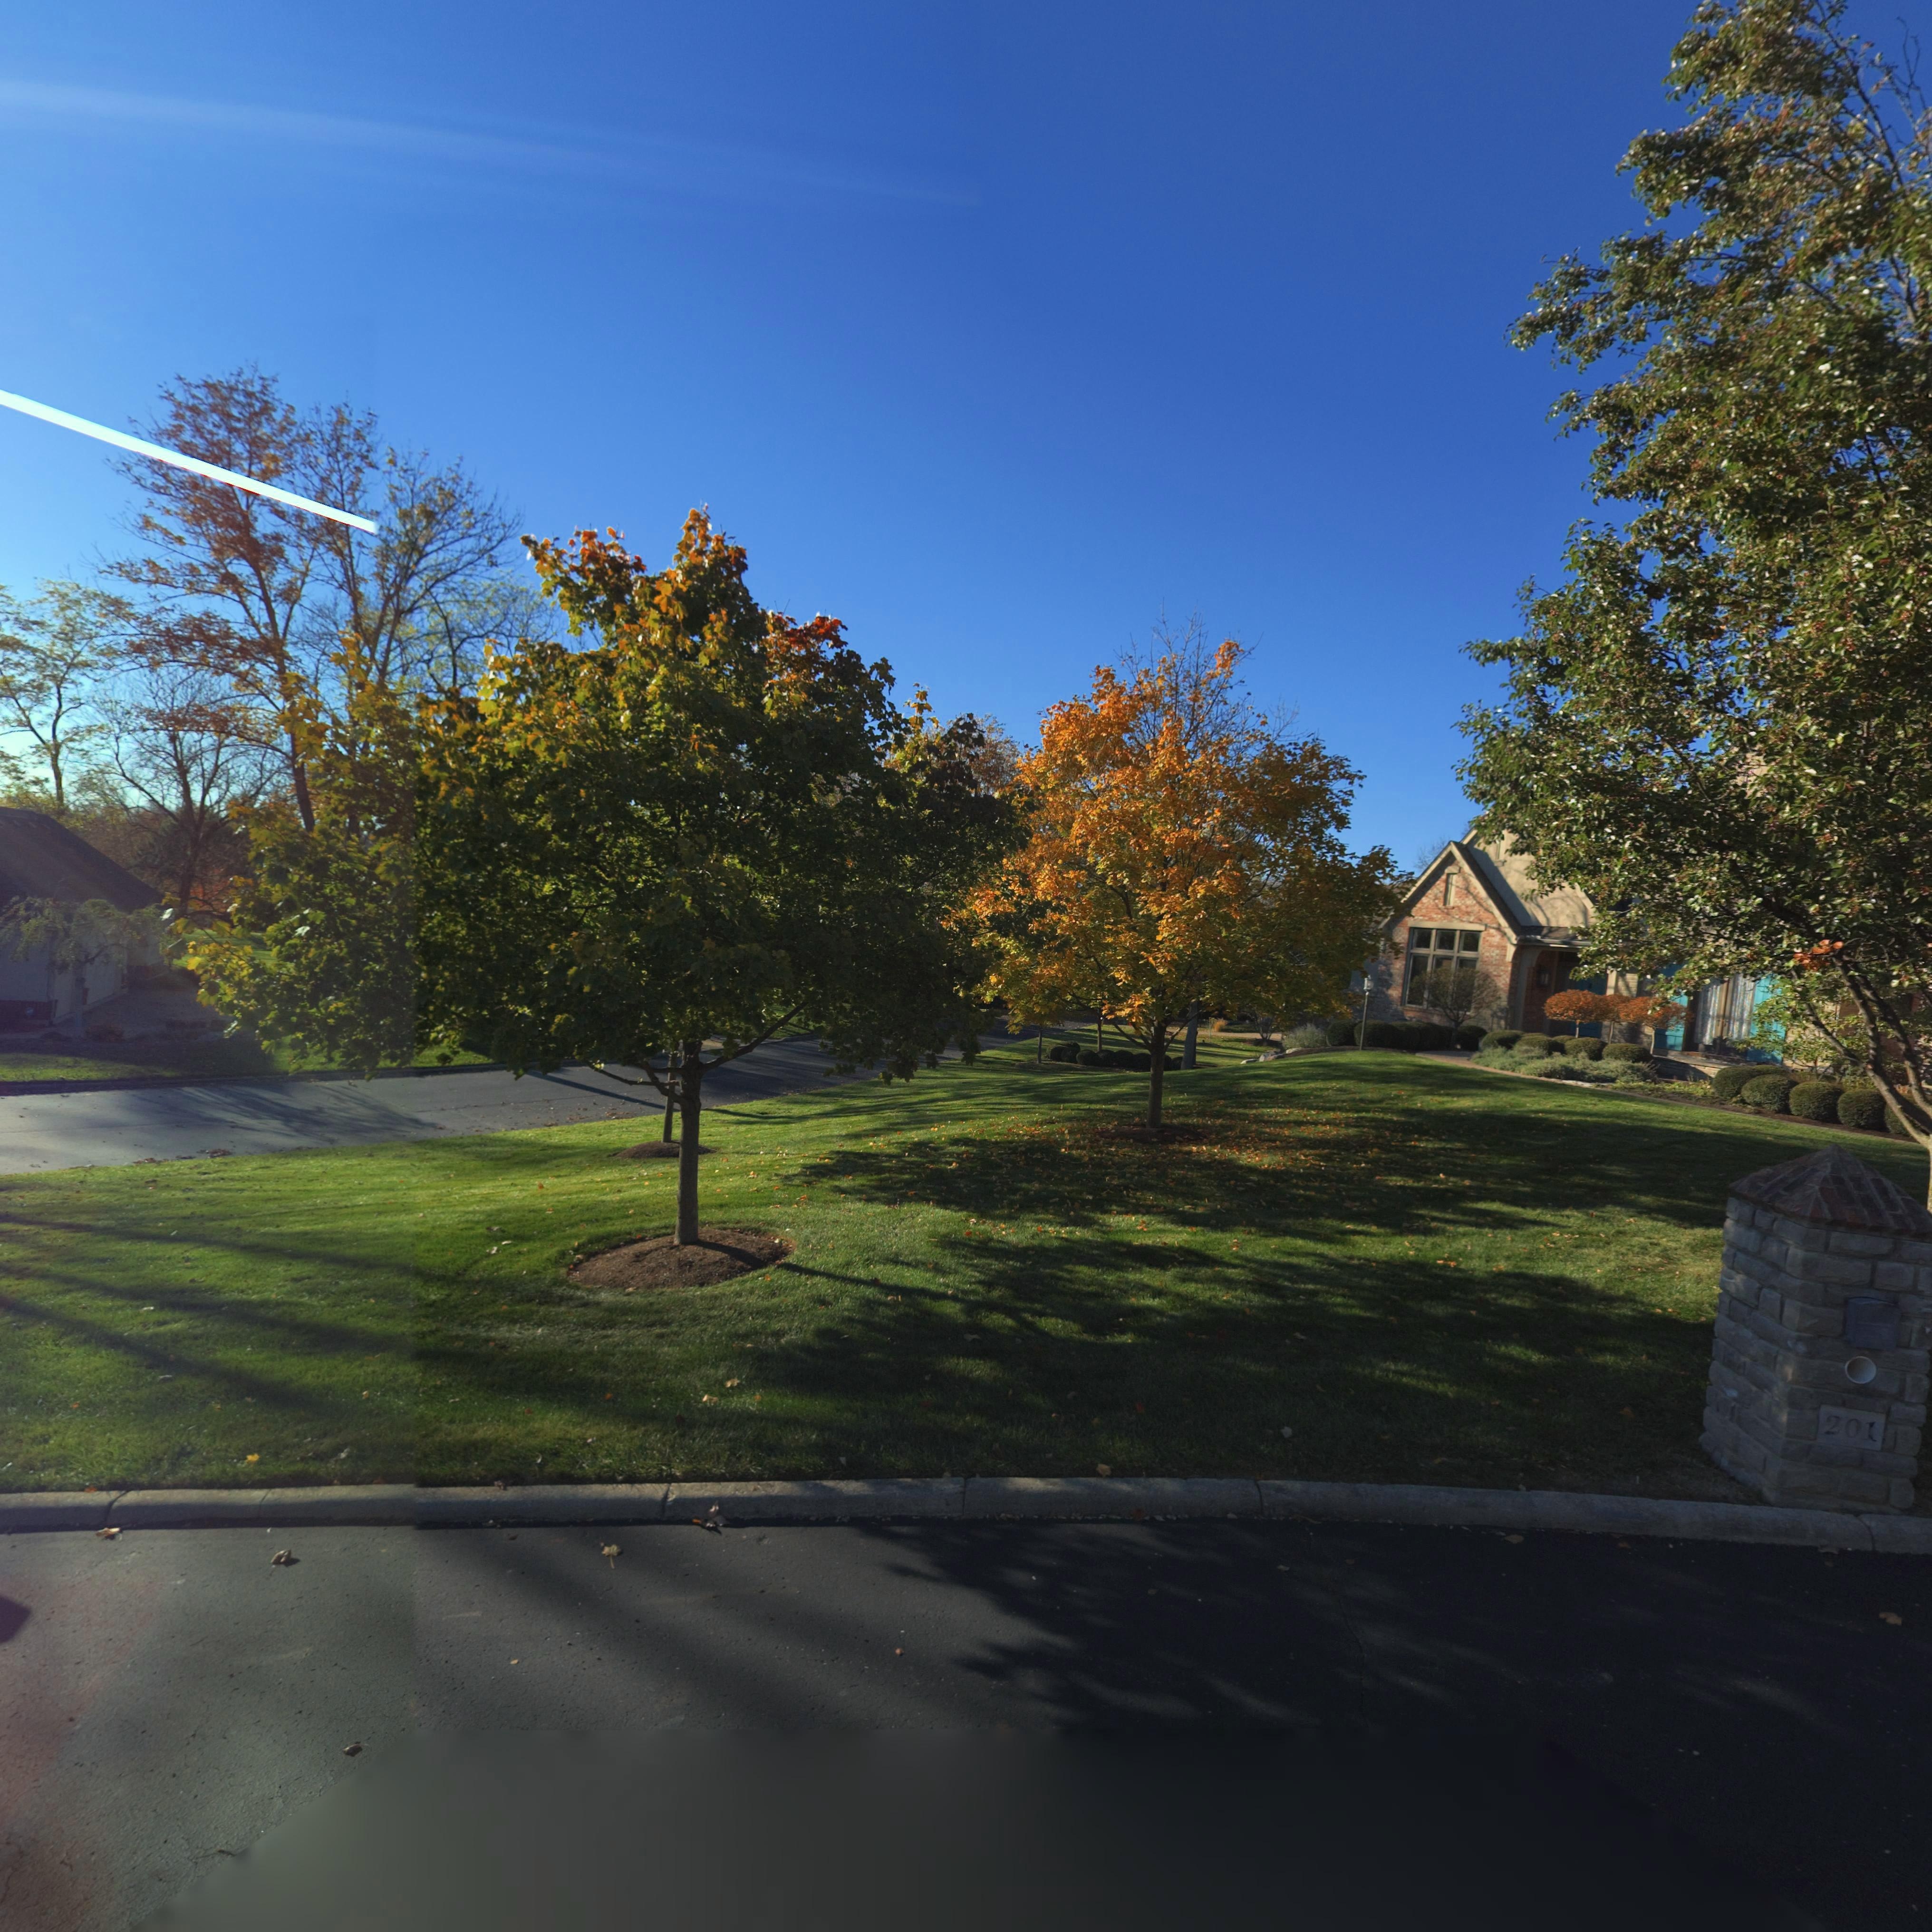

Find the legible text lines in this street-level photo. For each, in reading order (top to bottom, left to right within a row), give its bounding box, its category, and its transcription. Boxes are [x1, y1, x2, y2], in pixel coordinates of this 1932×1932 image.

[1822, 1413, 1878, 1444] StreetNumber: 201